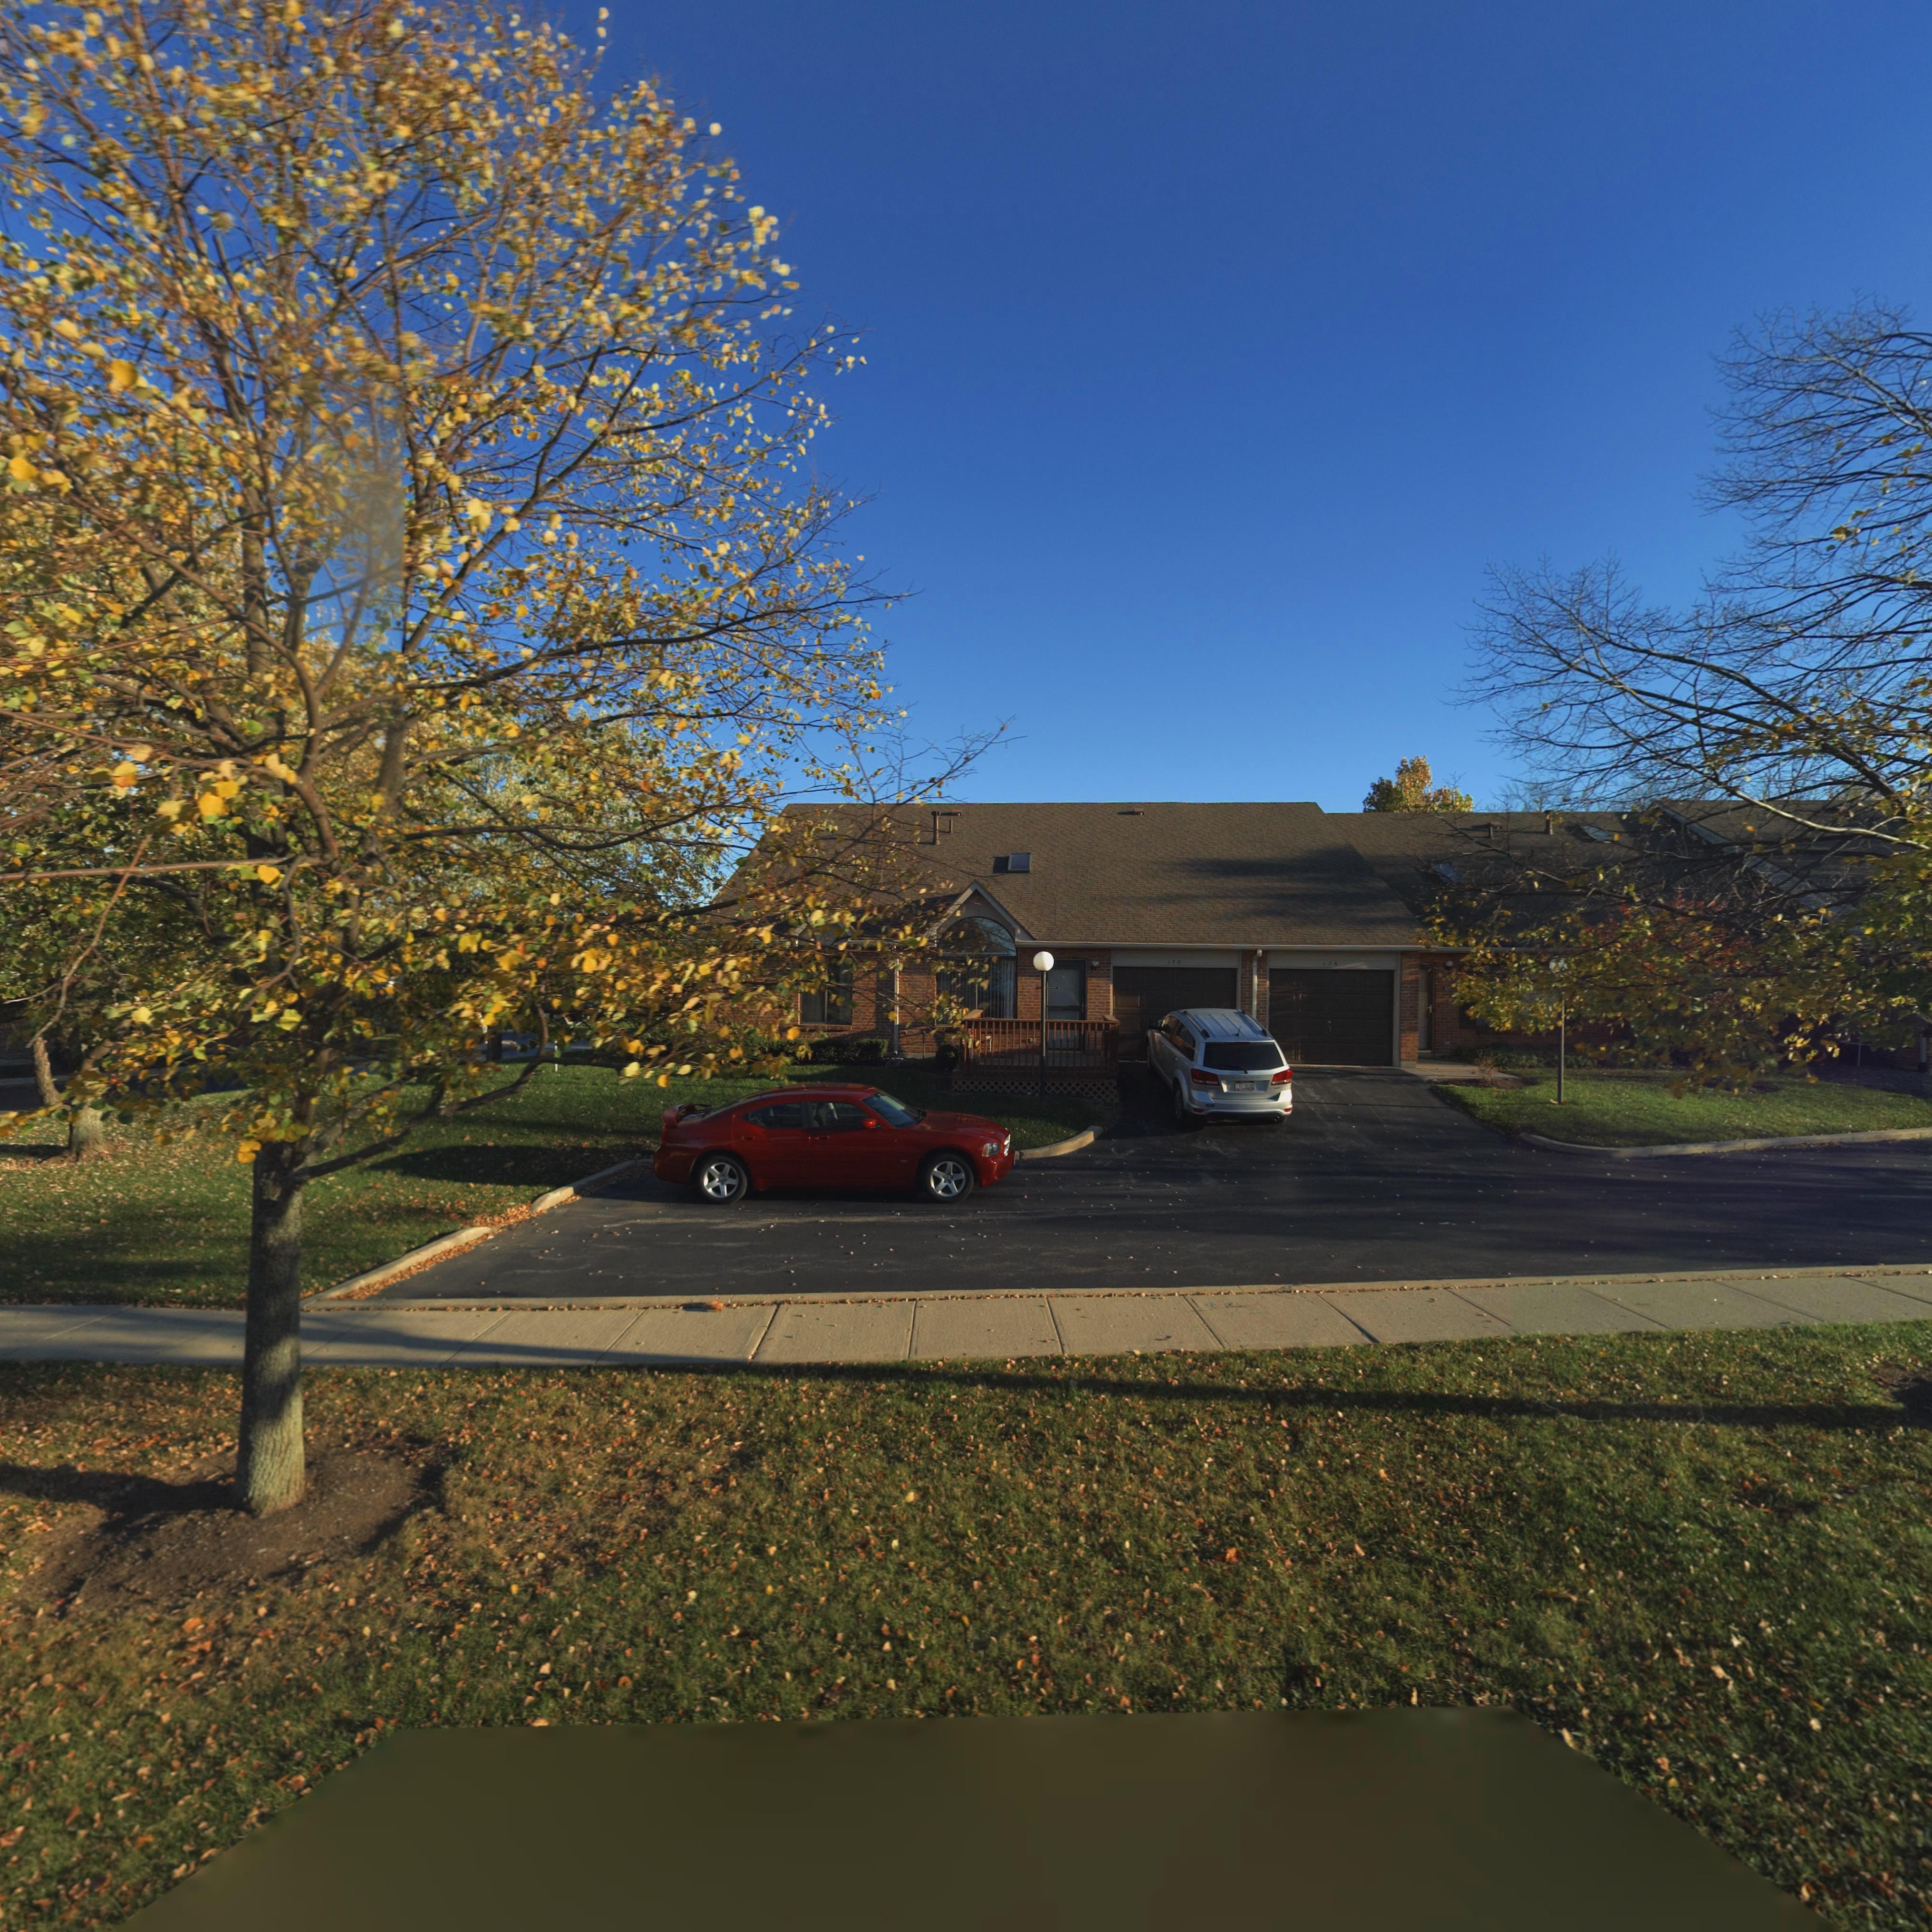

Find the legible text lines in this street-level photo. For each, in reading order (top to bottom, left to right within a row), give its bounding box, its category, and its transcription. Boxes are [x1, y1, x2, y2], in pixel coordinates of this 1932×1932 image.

[1167, 959, 1182, 965] StreetNumber: 178
[1322, 960, 1339, 967] StreetNumber: 176